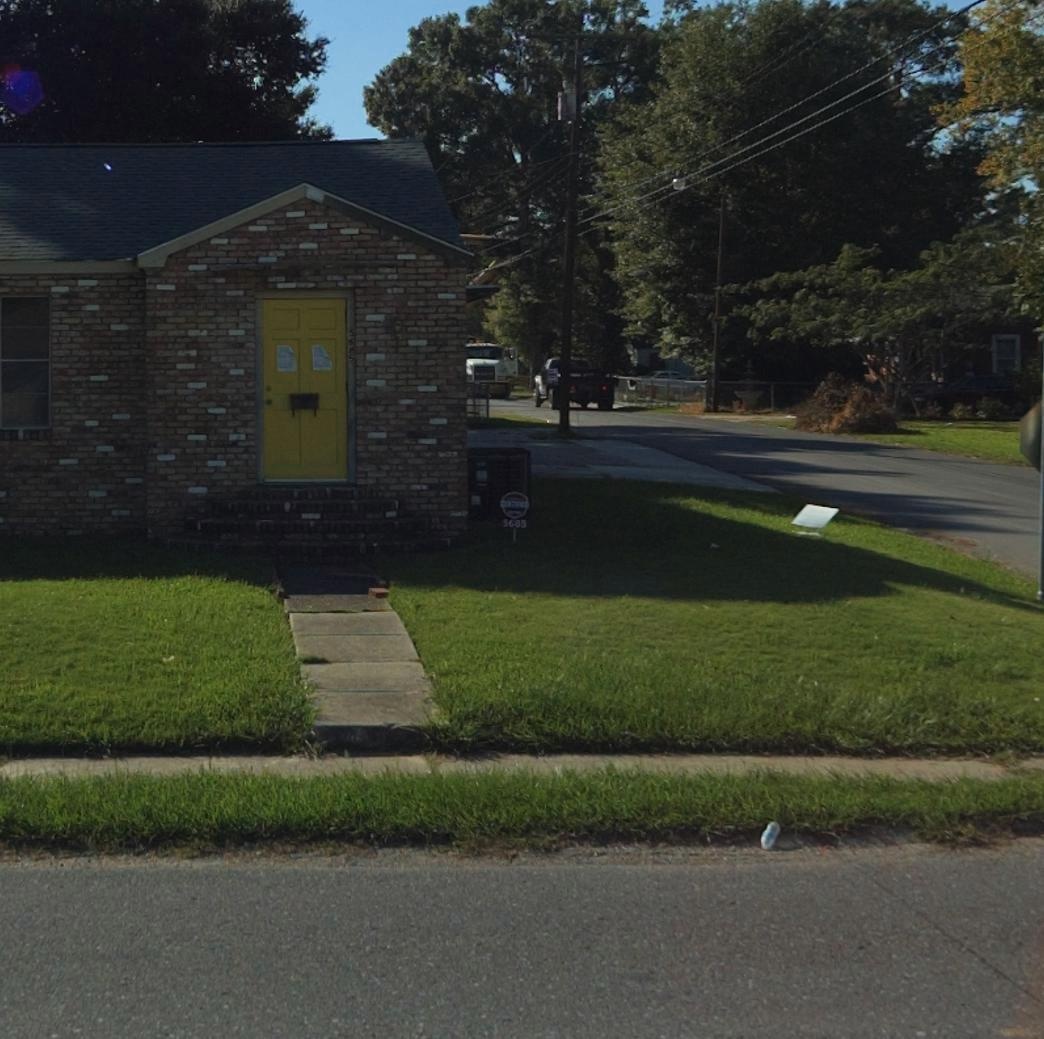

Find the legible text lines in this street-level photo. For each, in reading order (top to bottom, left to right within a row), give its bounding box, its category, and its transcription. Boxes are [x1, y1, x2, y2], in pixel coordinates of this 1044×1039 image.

[348, 326, 356, 365] StreetNumber: 5***
[502, 518, 527, 529] StreetNumber: 5685